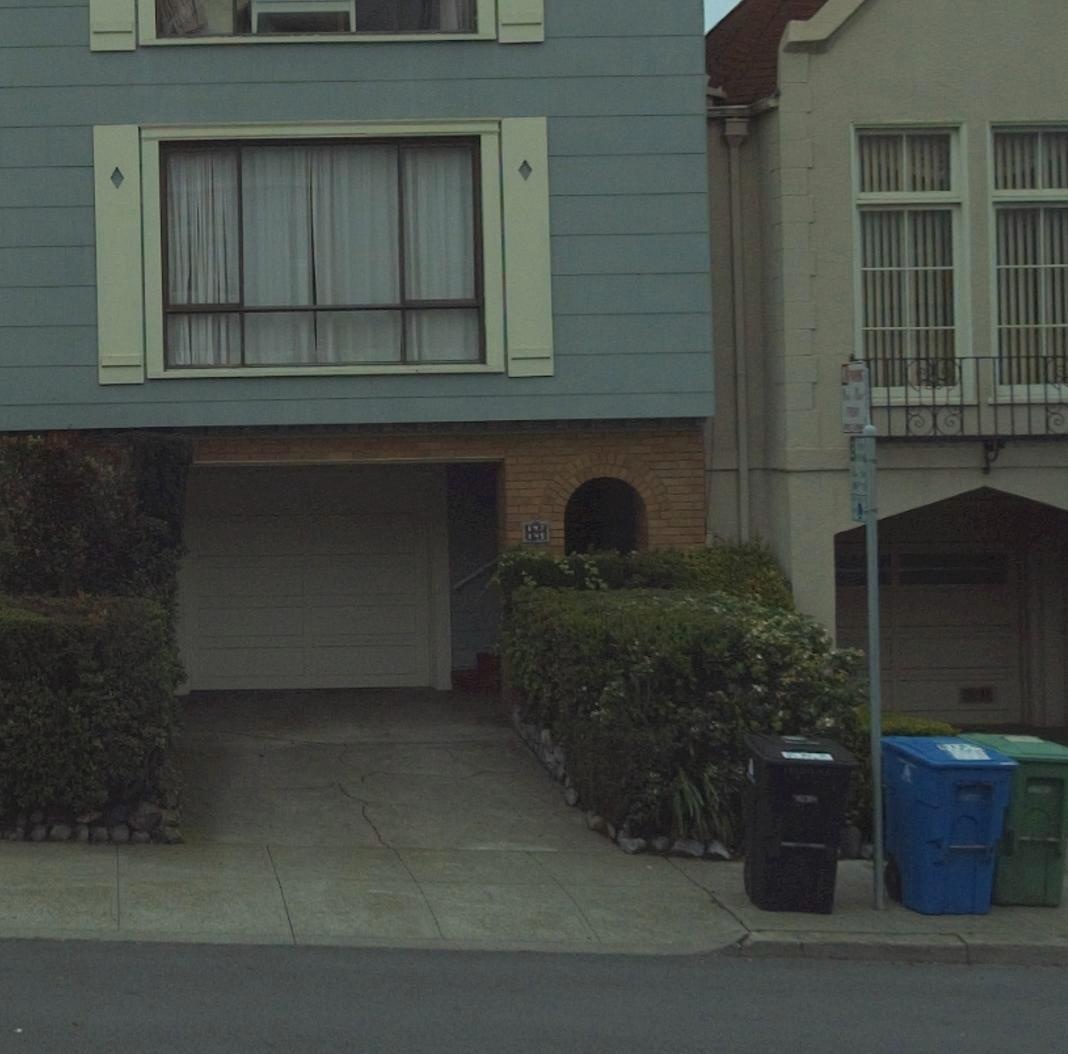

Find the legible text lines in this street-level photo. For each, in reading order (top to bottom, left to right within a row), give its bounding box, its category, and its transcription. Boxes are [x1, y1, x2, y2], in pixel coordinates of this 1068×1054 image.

[849, 438, 856, 458] None: 2
[526, 523, 546, 532] StreetNumber: 143
[527, 531, 546, 541] StreetNumber: 145